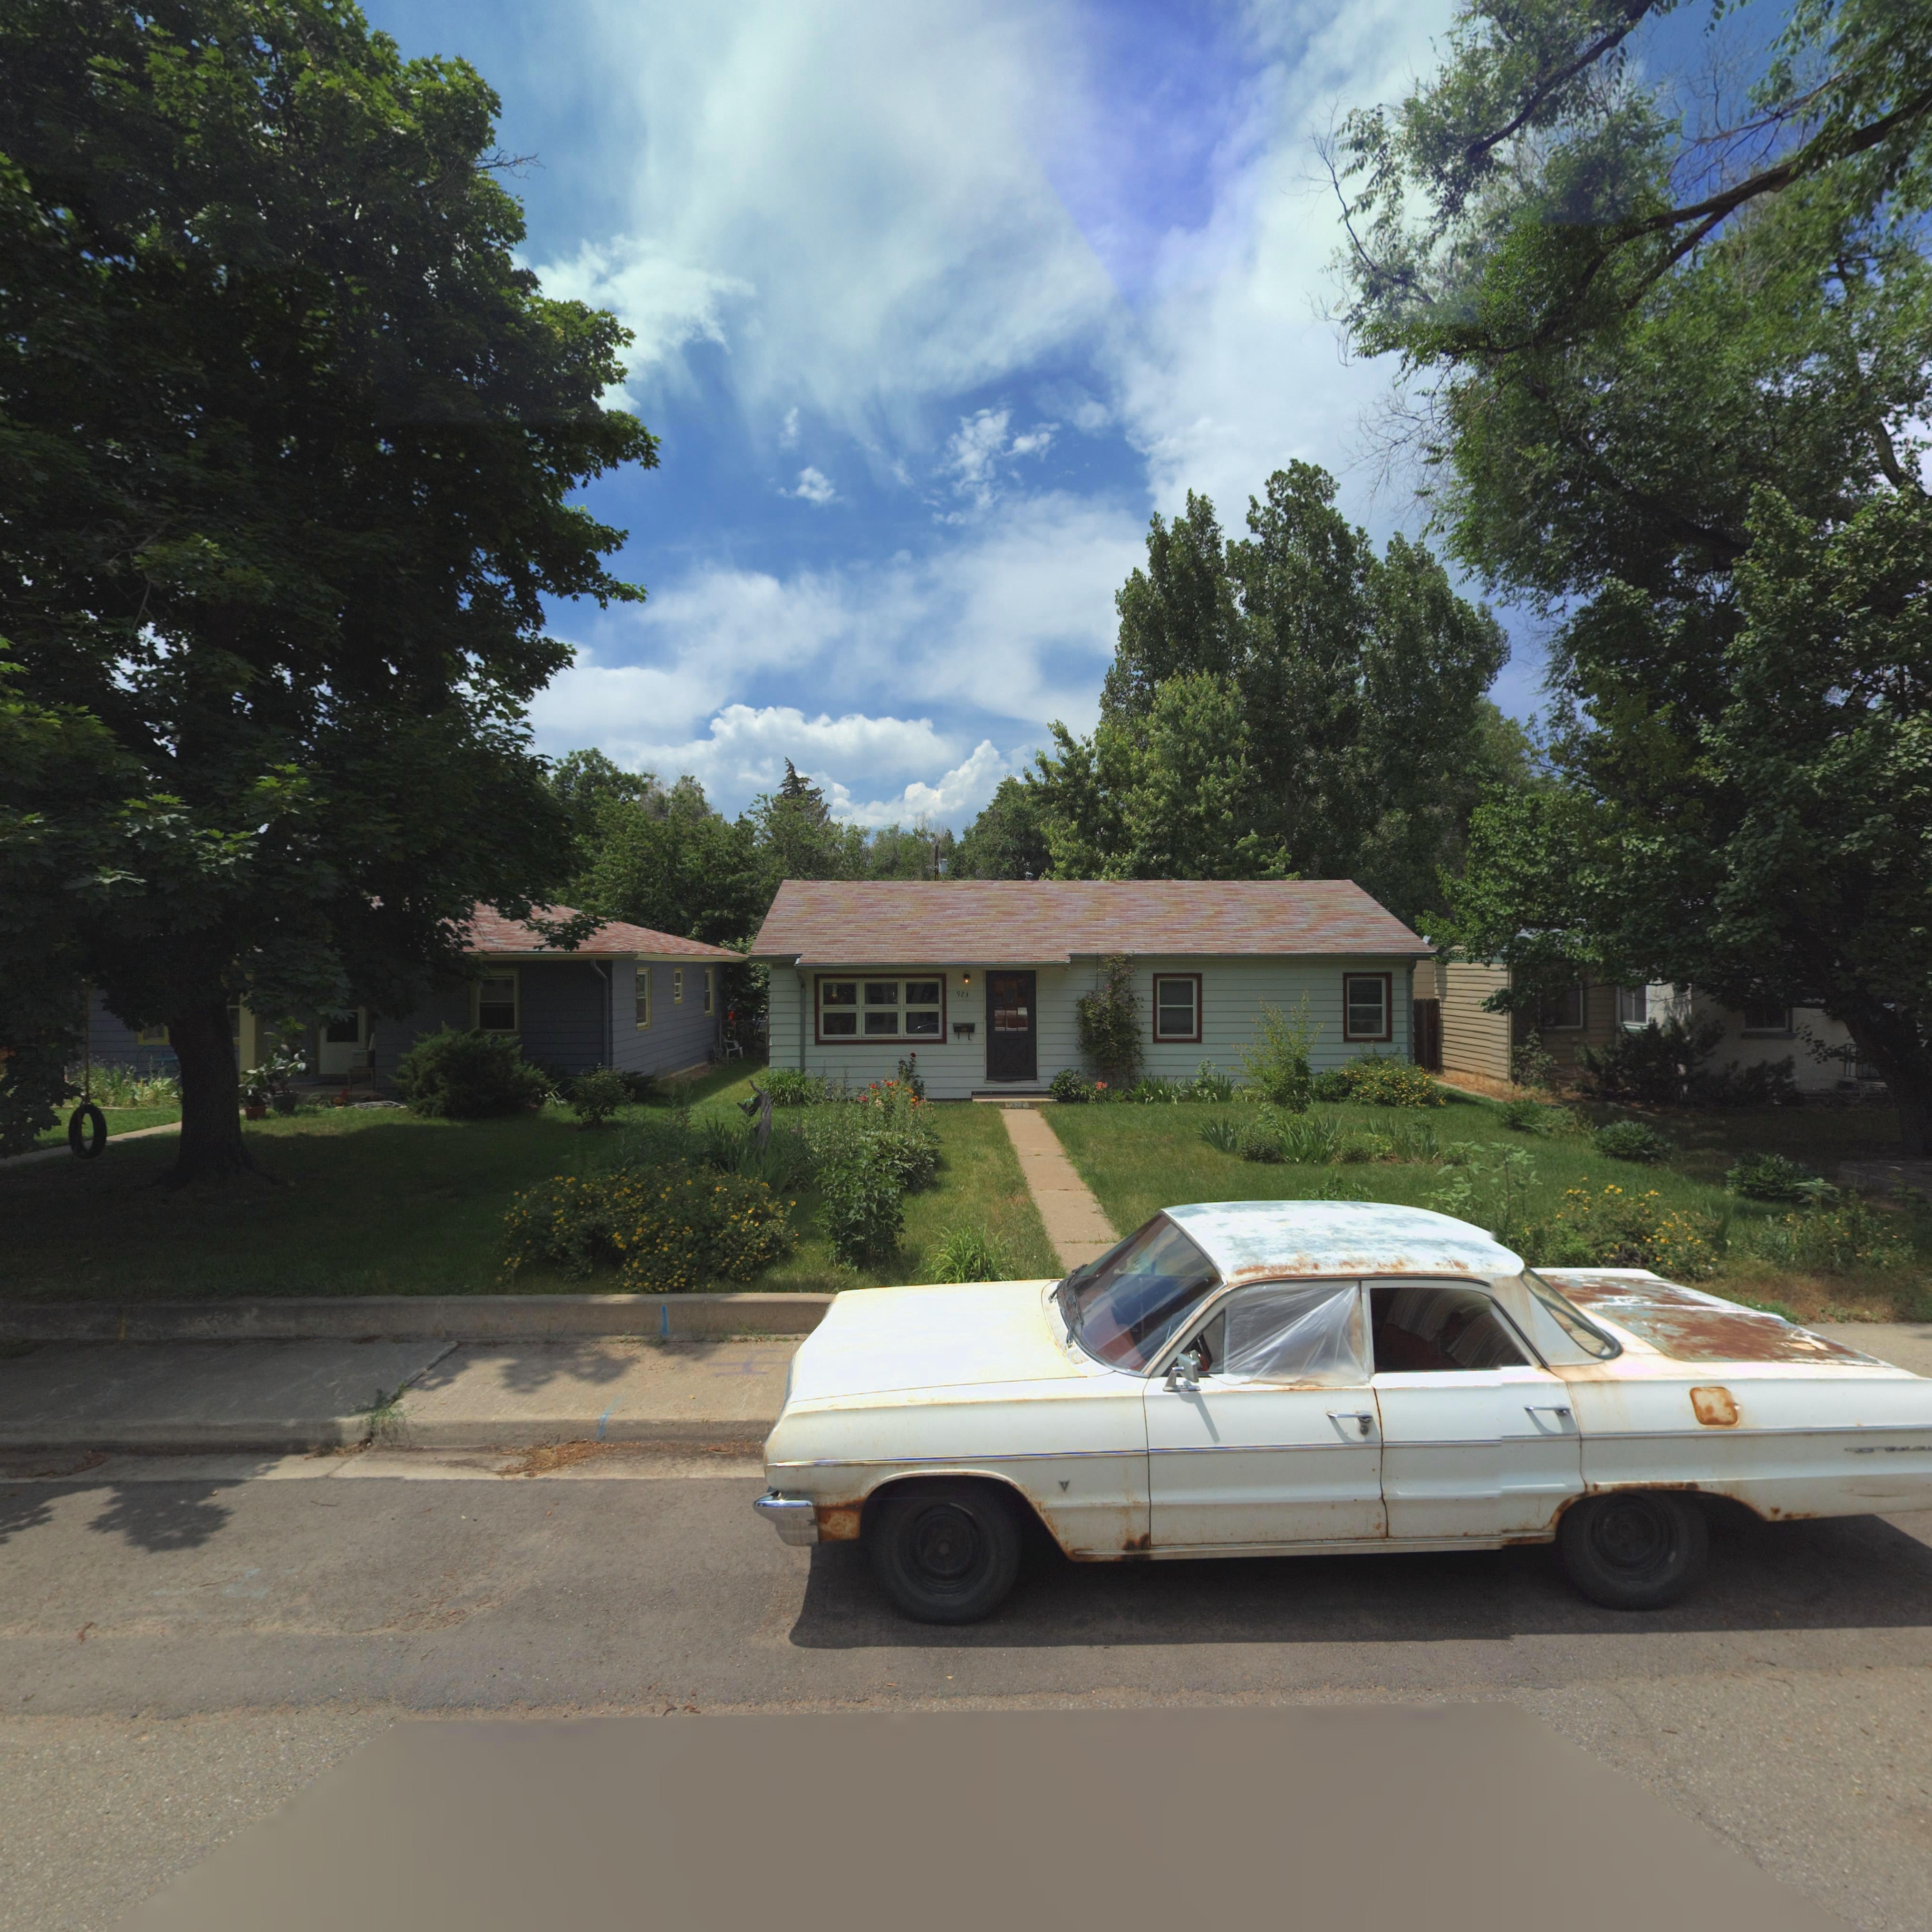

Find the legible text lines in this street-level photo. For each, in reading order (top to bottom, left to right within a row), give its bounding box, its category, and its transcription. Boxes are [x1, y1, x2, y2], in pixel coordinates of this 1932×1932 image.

[956, 990, 968, 998] StreetNumber: 923
[1011, 1102, 1023, 1107] StreetNumber: 923